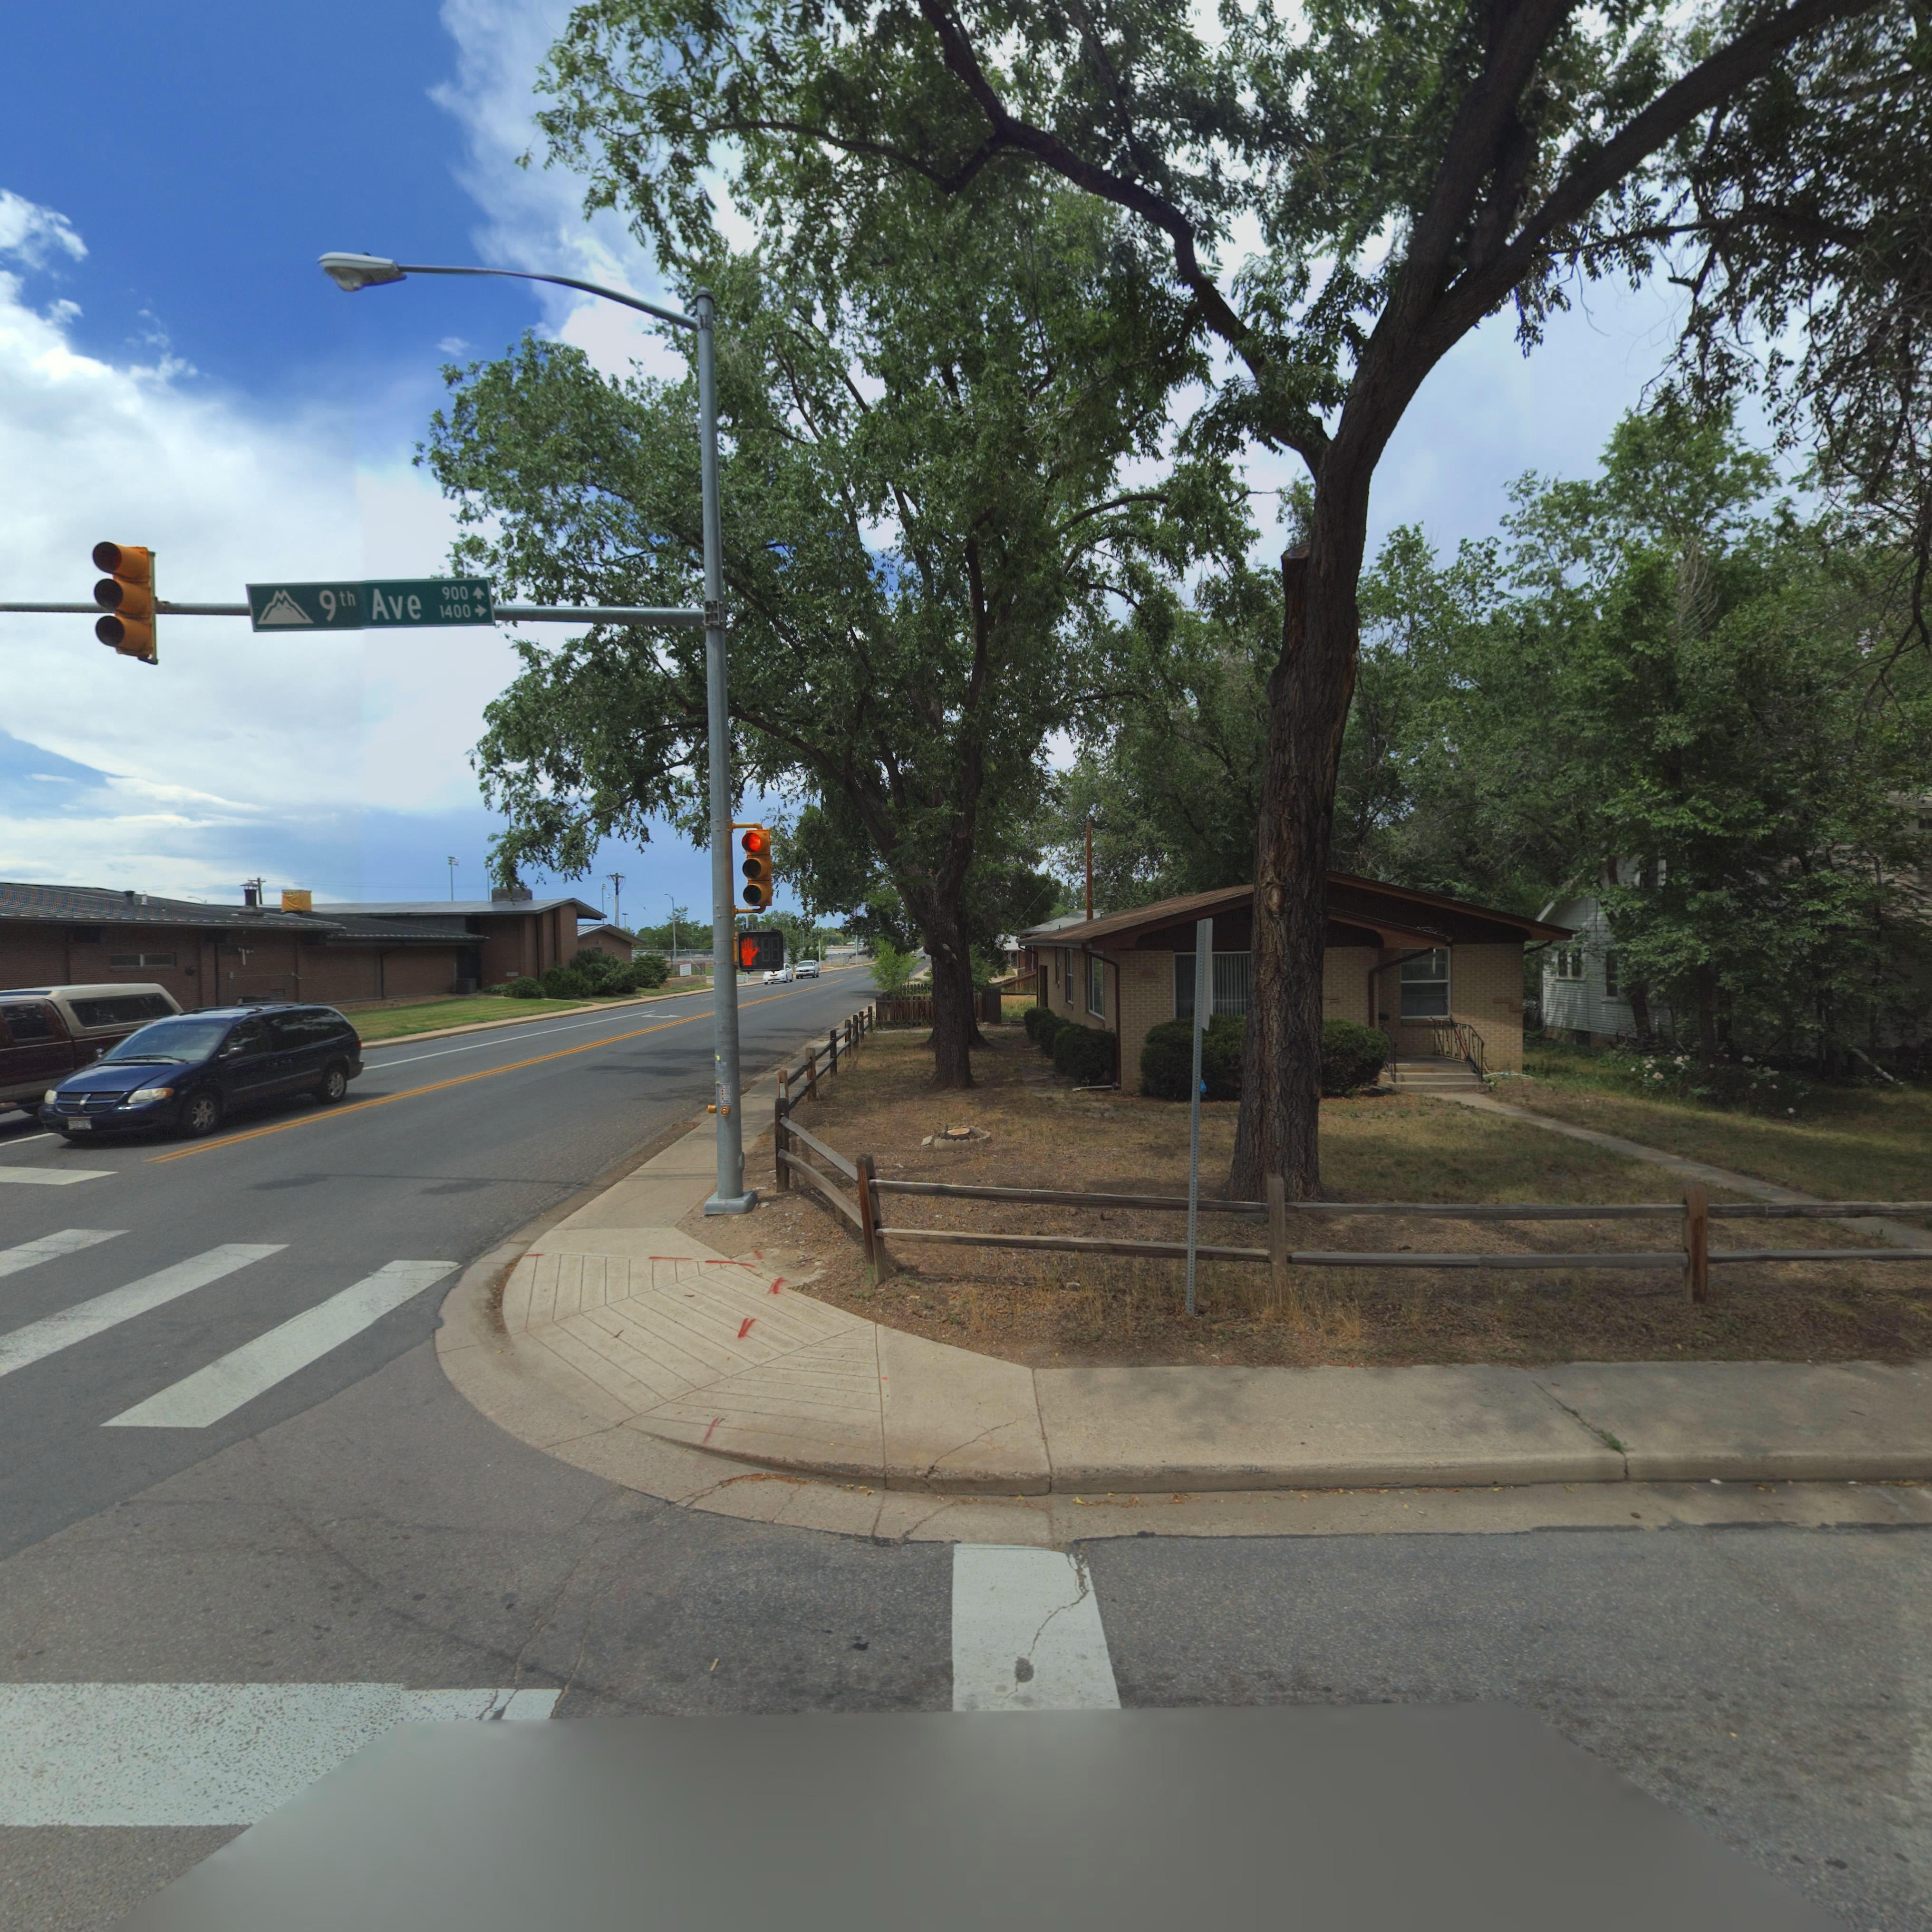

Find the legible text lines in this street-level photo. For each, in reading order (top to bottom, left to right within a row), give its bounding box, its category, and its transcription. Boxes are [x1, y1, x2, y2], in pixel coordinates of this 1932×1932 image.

[441, 585, 469, 600] StreetNumberRange: 900
[319, 587, 422, 622] StreetName: 9th Ave
[439, 603, 489, 618] StreetNumberRange: 1400->